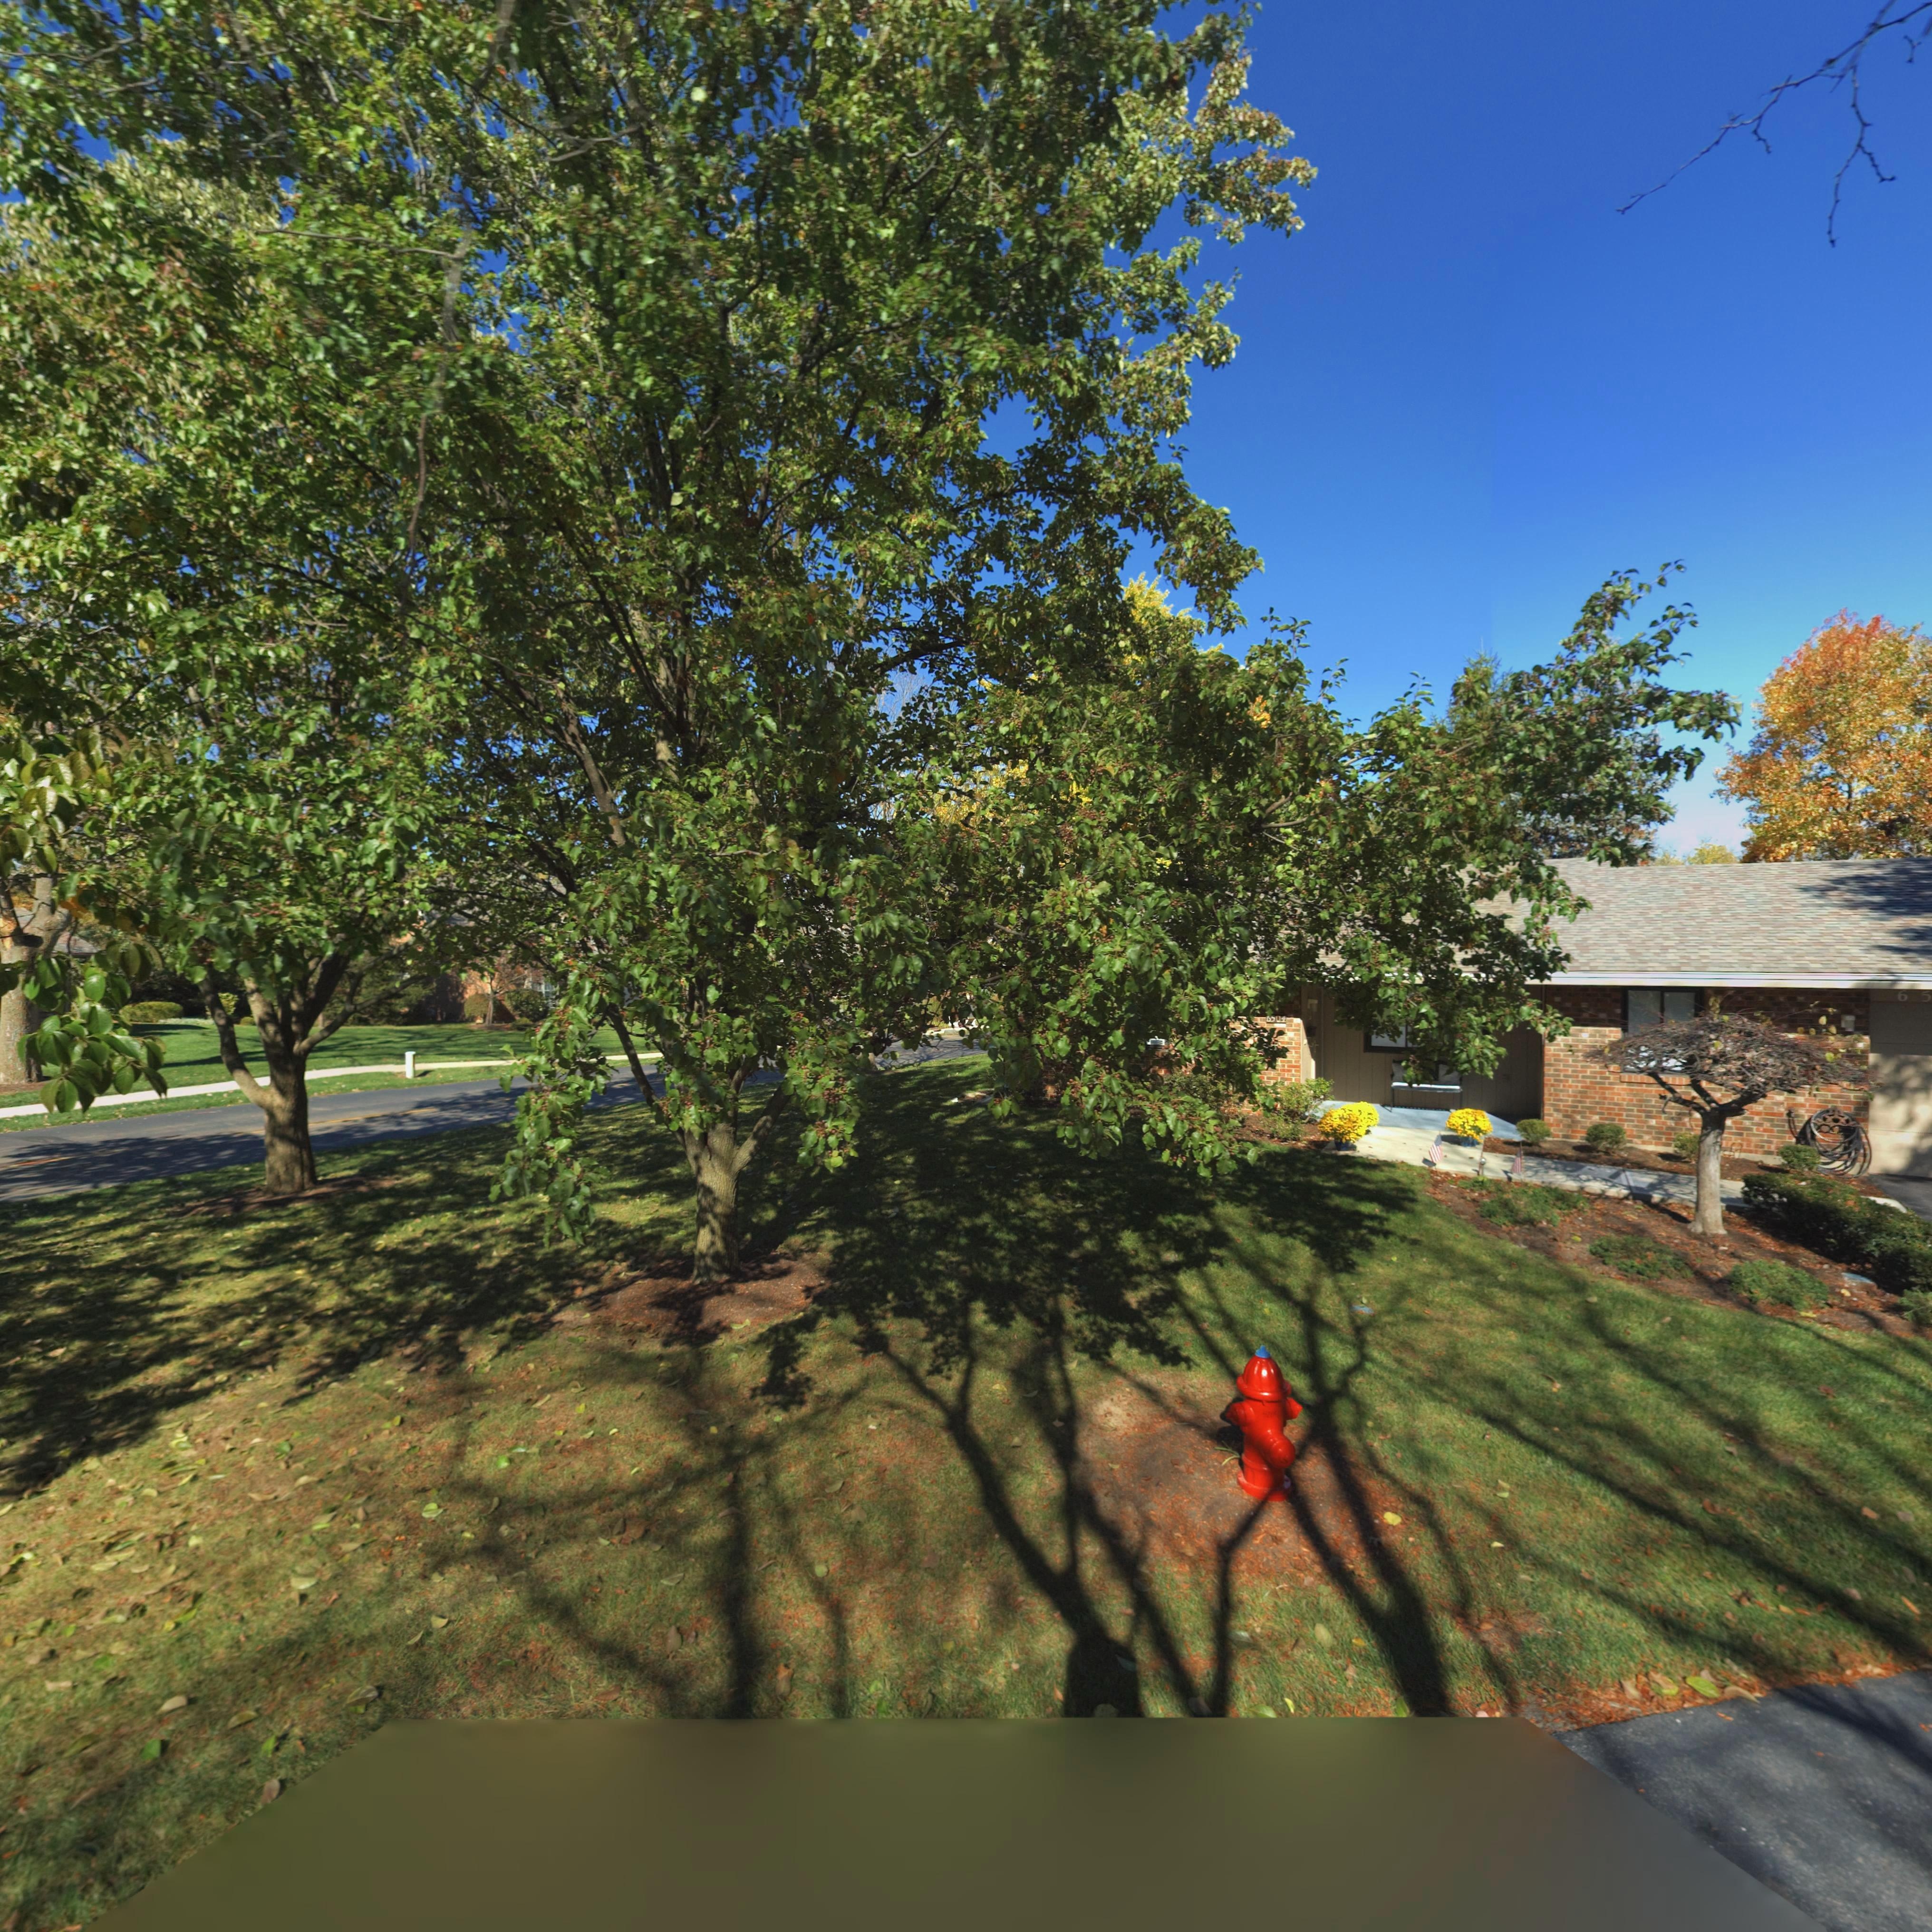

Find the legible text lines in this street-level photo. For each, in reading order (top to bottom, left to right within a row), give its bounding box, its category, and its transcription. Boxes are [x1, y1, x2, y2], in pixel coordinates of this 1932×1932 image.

[1895, 989, 1932, 1003] StreetNumber: 65